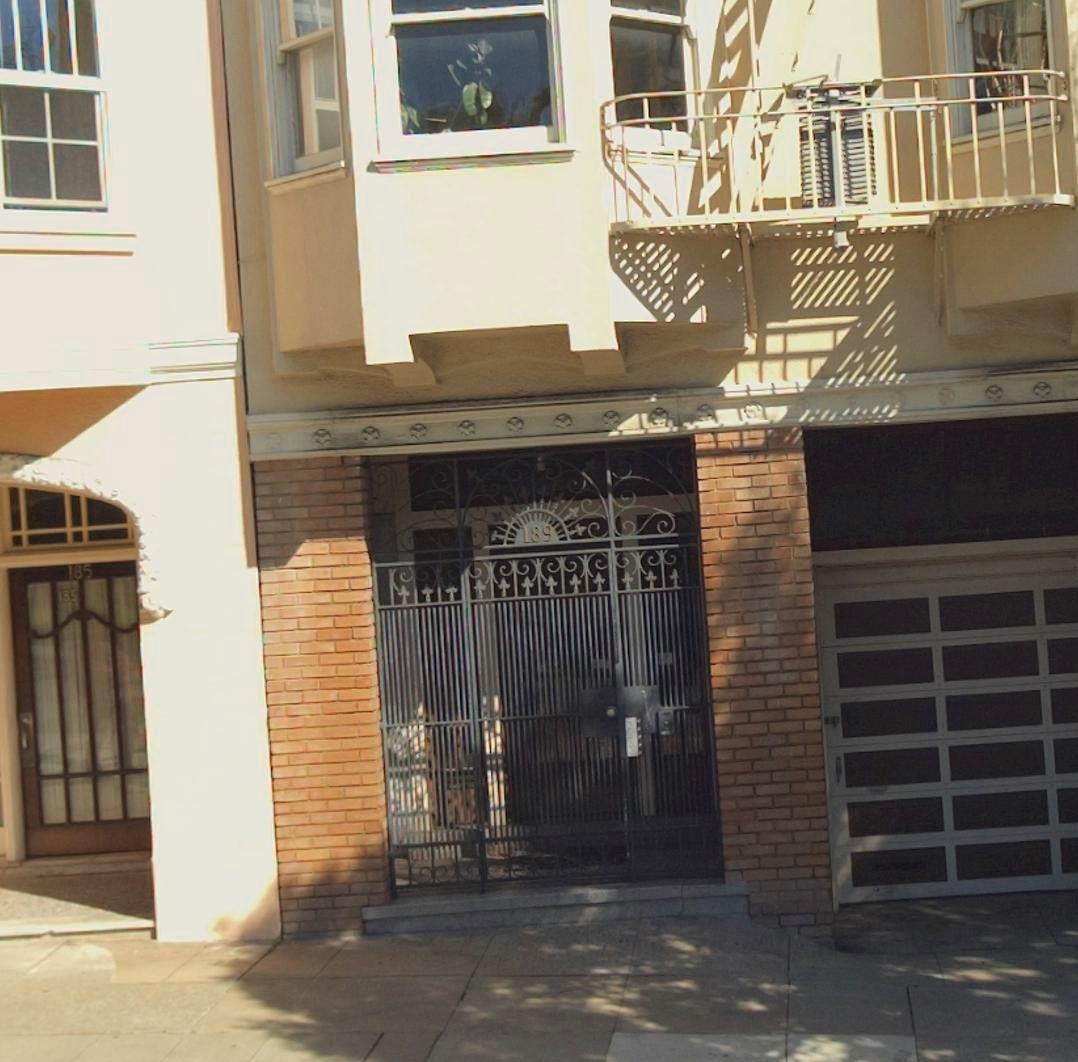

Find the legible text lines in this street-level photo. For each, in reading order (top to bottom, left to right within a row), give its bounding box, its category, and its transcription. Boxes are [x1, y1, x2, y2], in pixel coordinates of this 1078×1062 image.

[522, 524, 553, 544] StreetNumber: 189
[67, 563, 94, 581] StreetNumber: 185
[56, 588, 79, 603] StreetNumber: 185